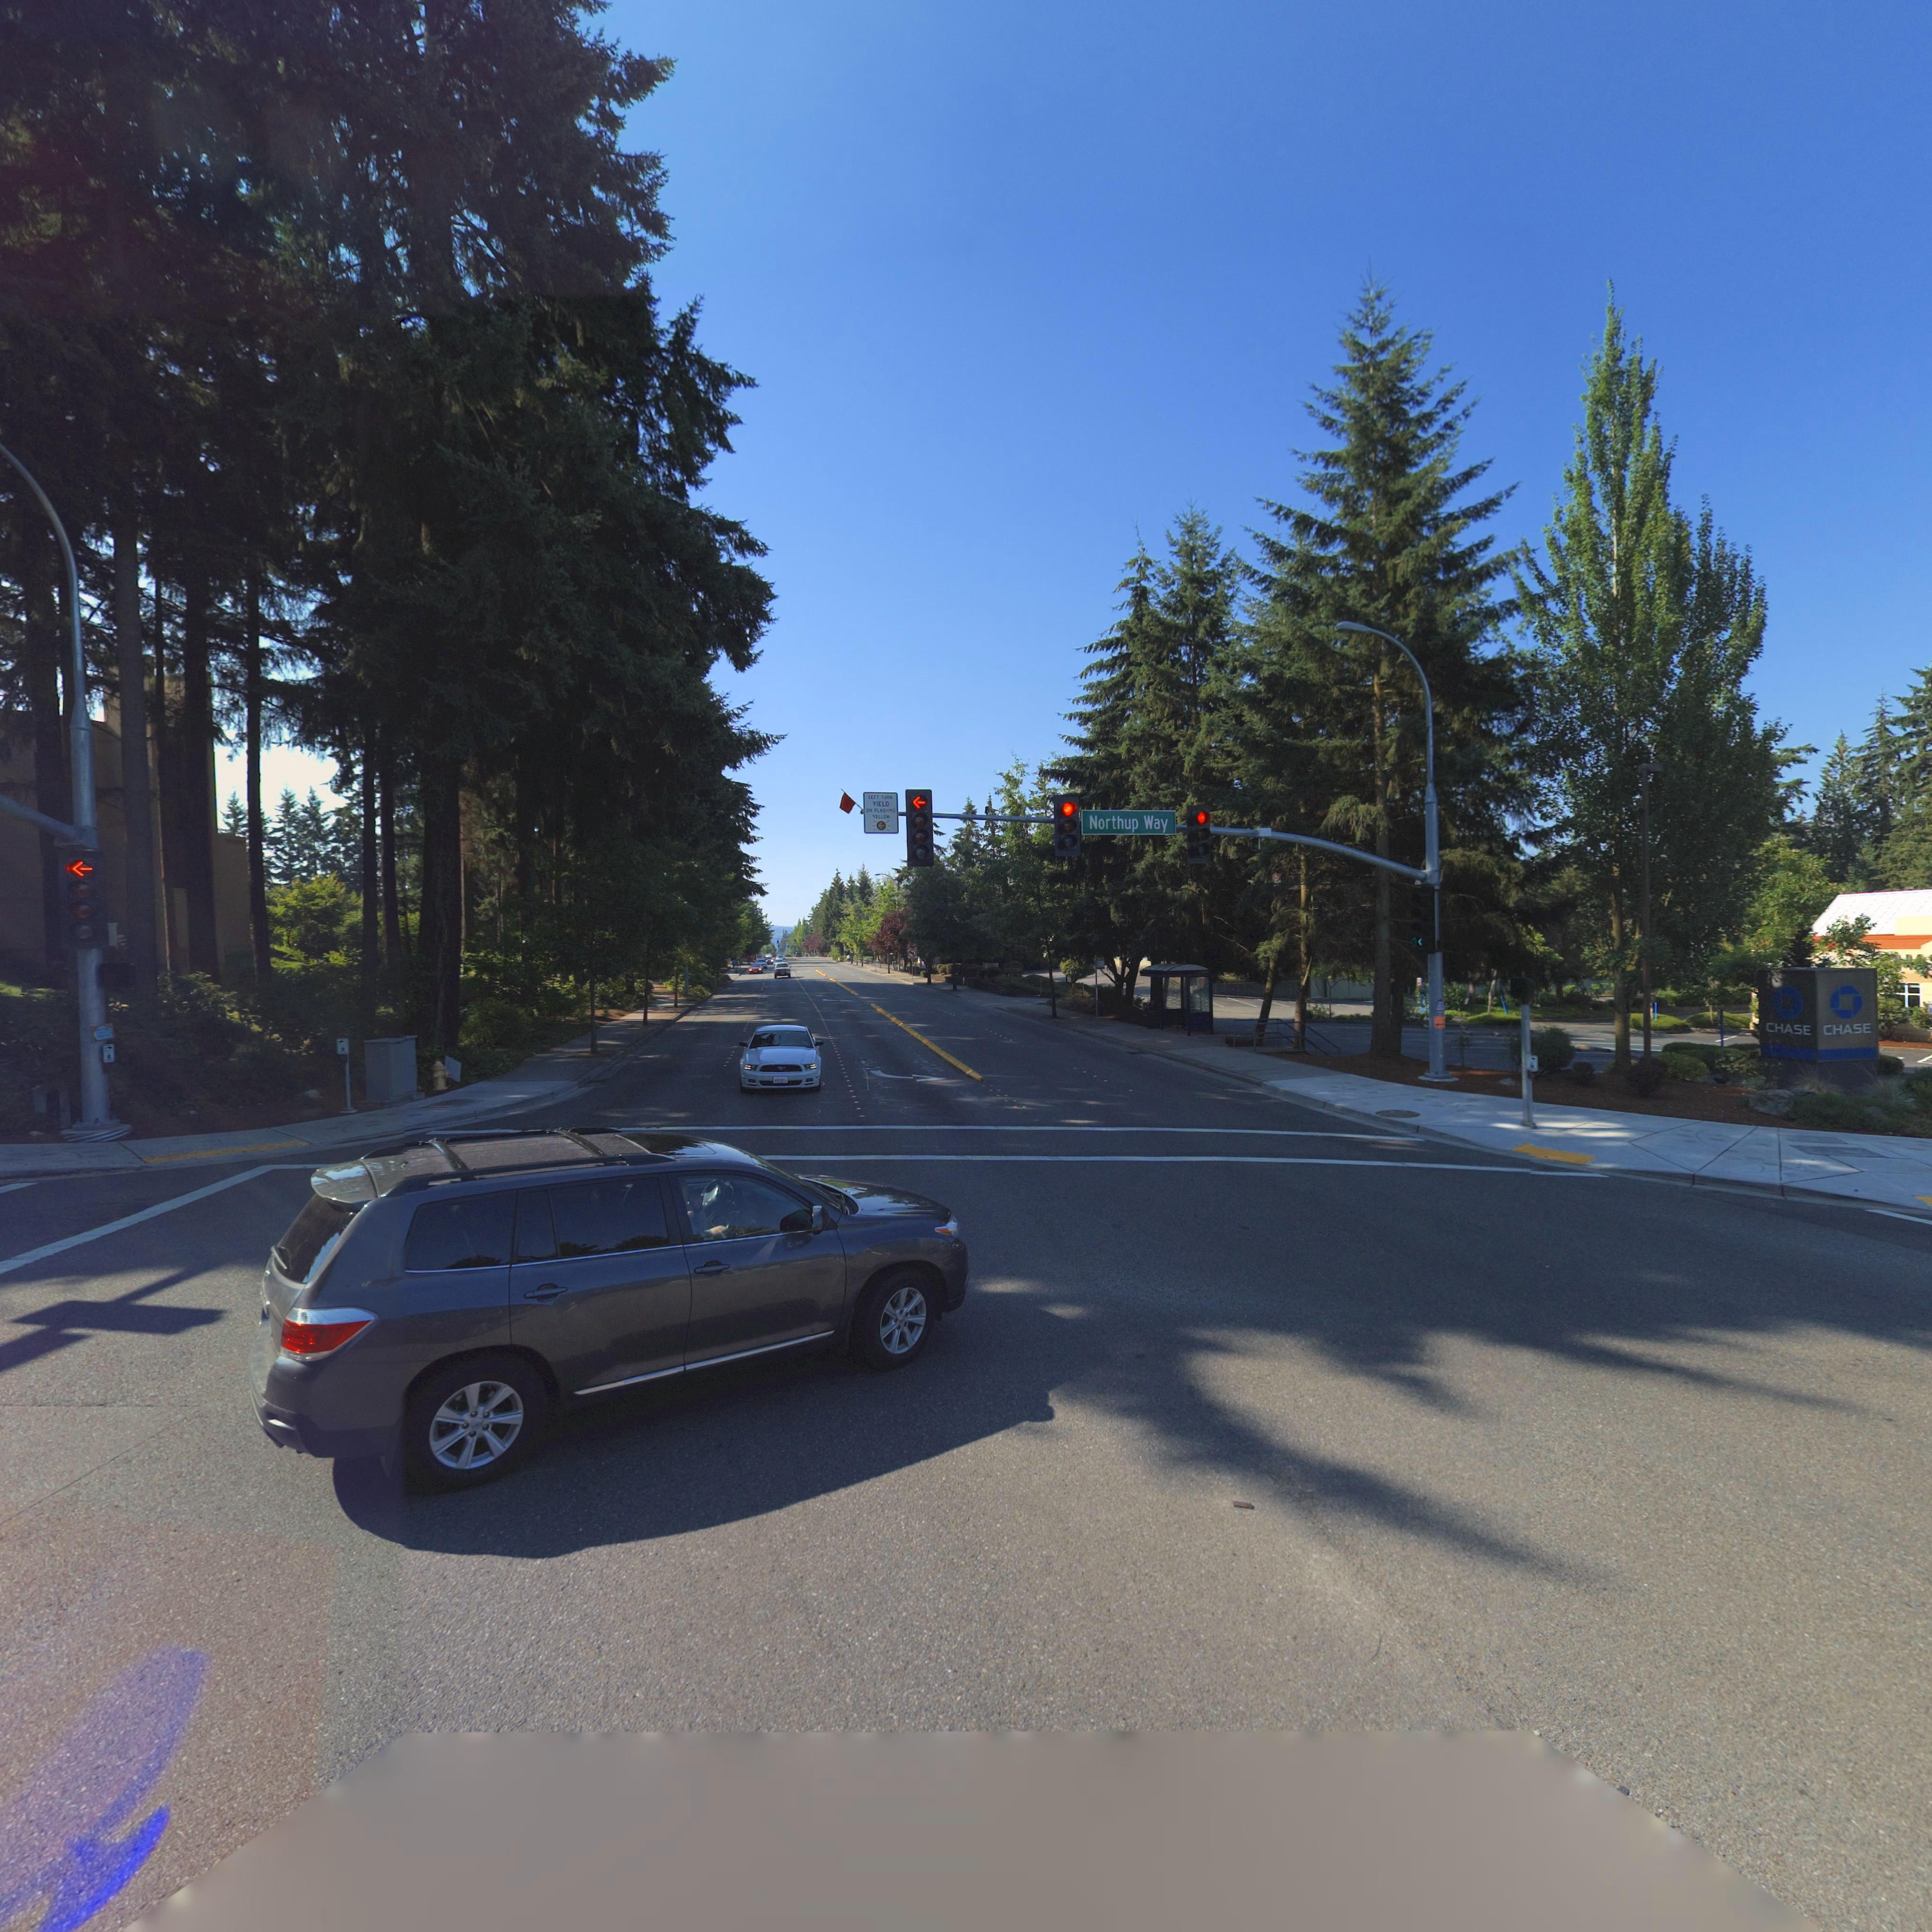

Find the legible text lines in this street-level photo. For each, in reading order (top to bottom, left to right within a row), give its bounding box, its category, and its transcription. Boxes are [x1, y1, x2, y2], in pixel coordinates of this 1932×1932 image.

[1089, 814, 1169, 833] StreetName: Northup Way
[1766, 1021, 1812, 1036] BusinessName: CHASE
[1824, 1023, 1871, 1034] BusinessName: CHASE